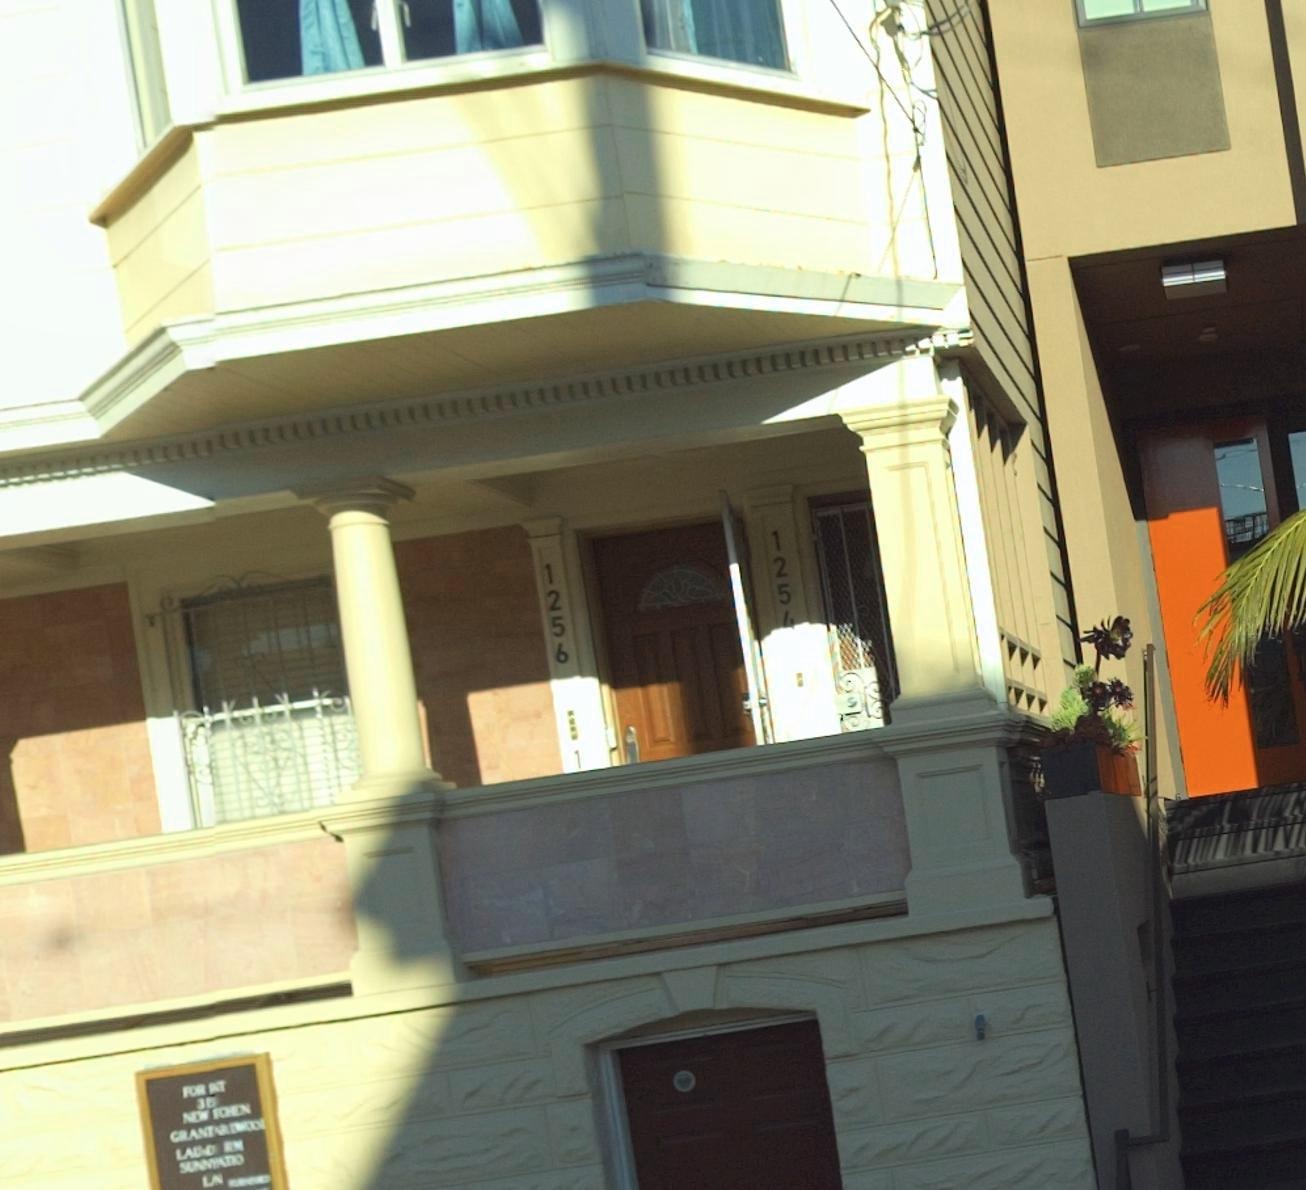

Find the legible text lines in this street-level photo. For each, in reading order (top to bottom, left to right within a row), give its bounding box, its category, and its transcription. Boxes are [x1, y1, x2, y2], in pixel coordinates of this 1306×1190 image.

[765, 528, 797, 634] StreetNumber: 1254
[540, 559, 574, 666] StreetNumber: 1256
[181, 1078, 229, 1100] None: FOR AT
[194, 1096, 207, 1111] None: 3
[167, 1124, 216, 1145] None: GRANT
[177, 1154, 246, 1177] None: SUNNYATIO